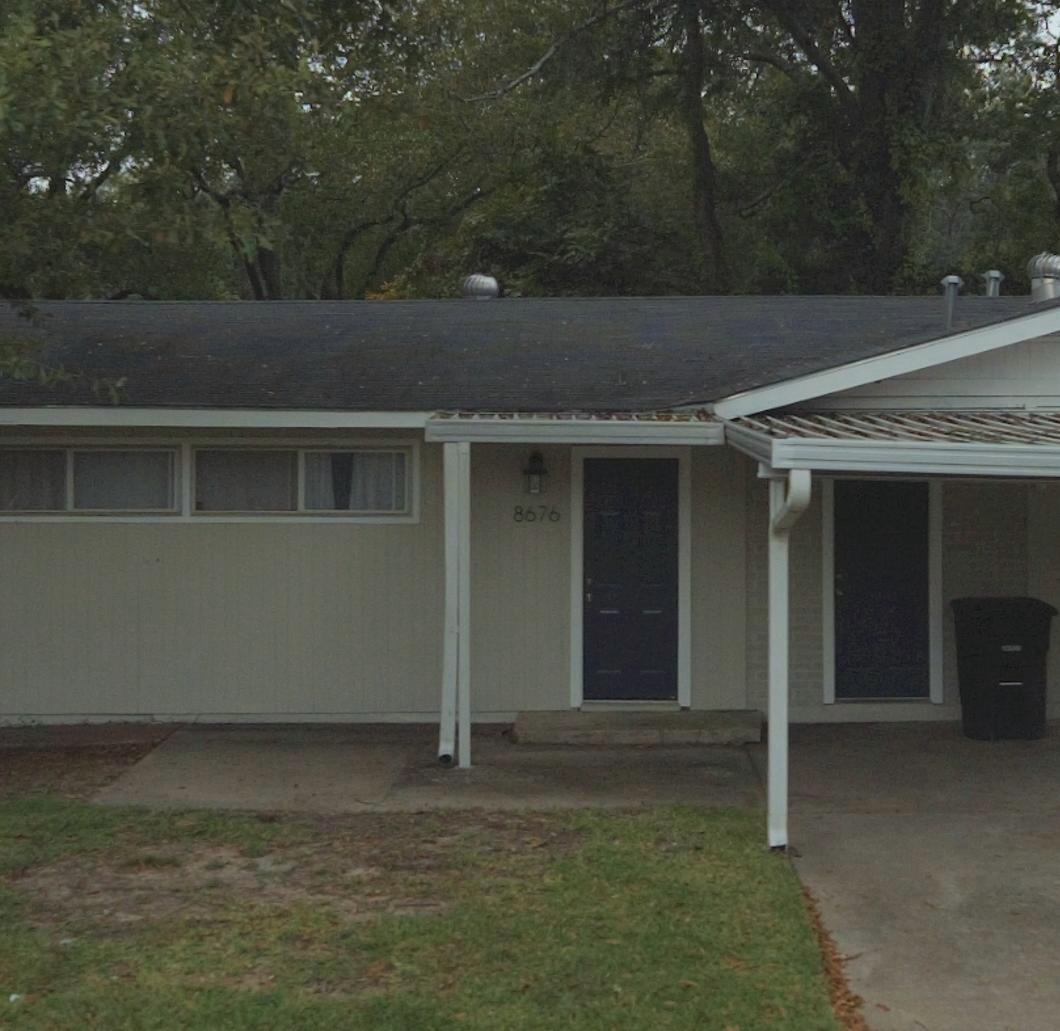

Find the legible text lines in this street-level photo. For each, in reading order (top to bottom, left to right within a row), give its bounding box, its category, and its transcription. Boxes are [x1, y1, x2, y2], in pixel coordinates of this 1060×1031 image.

[513, 504, 561, 523] StreetNumber: 8676